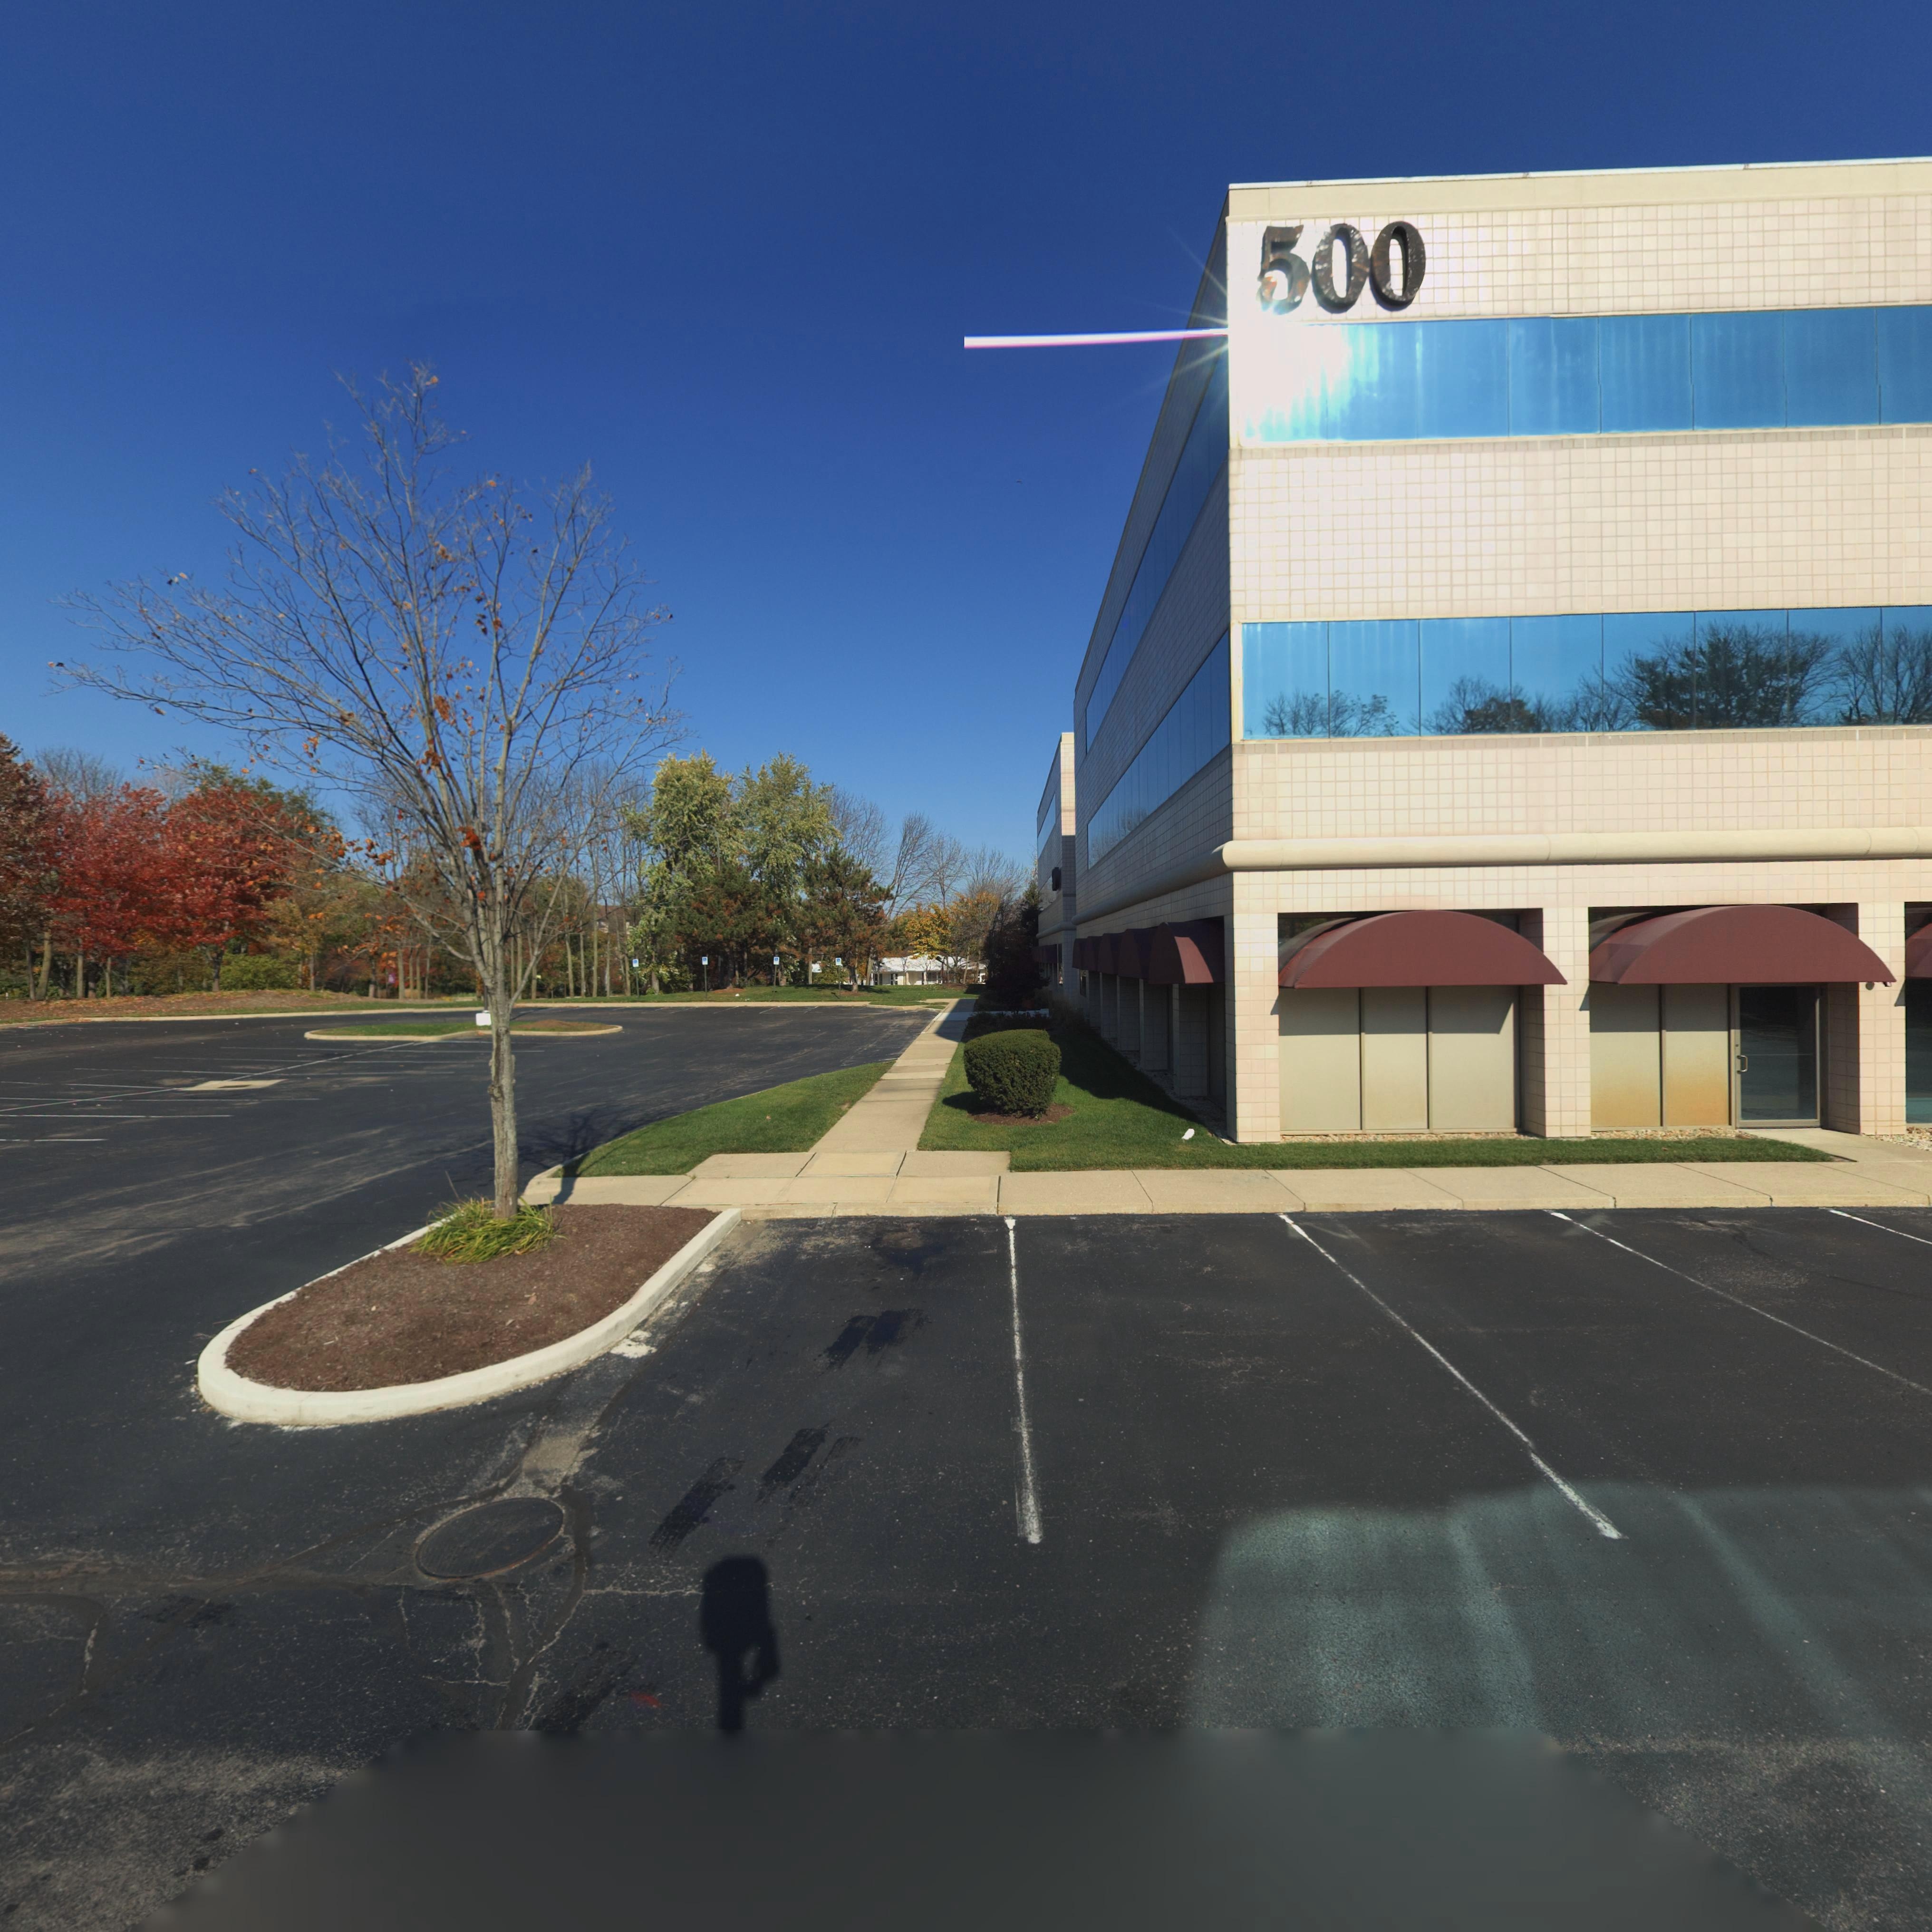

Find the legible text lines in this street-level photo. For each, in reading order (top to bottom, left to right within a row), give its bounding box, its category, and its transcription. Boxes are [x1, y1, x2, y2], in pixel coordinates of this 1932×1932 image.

[1256, 219, 1427, 311] StreetNumber: 500